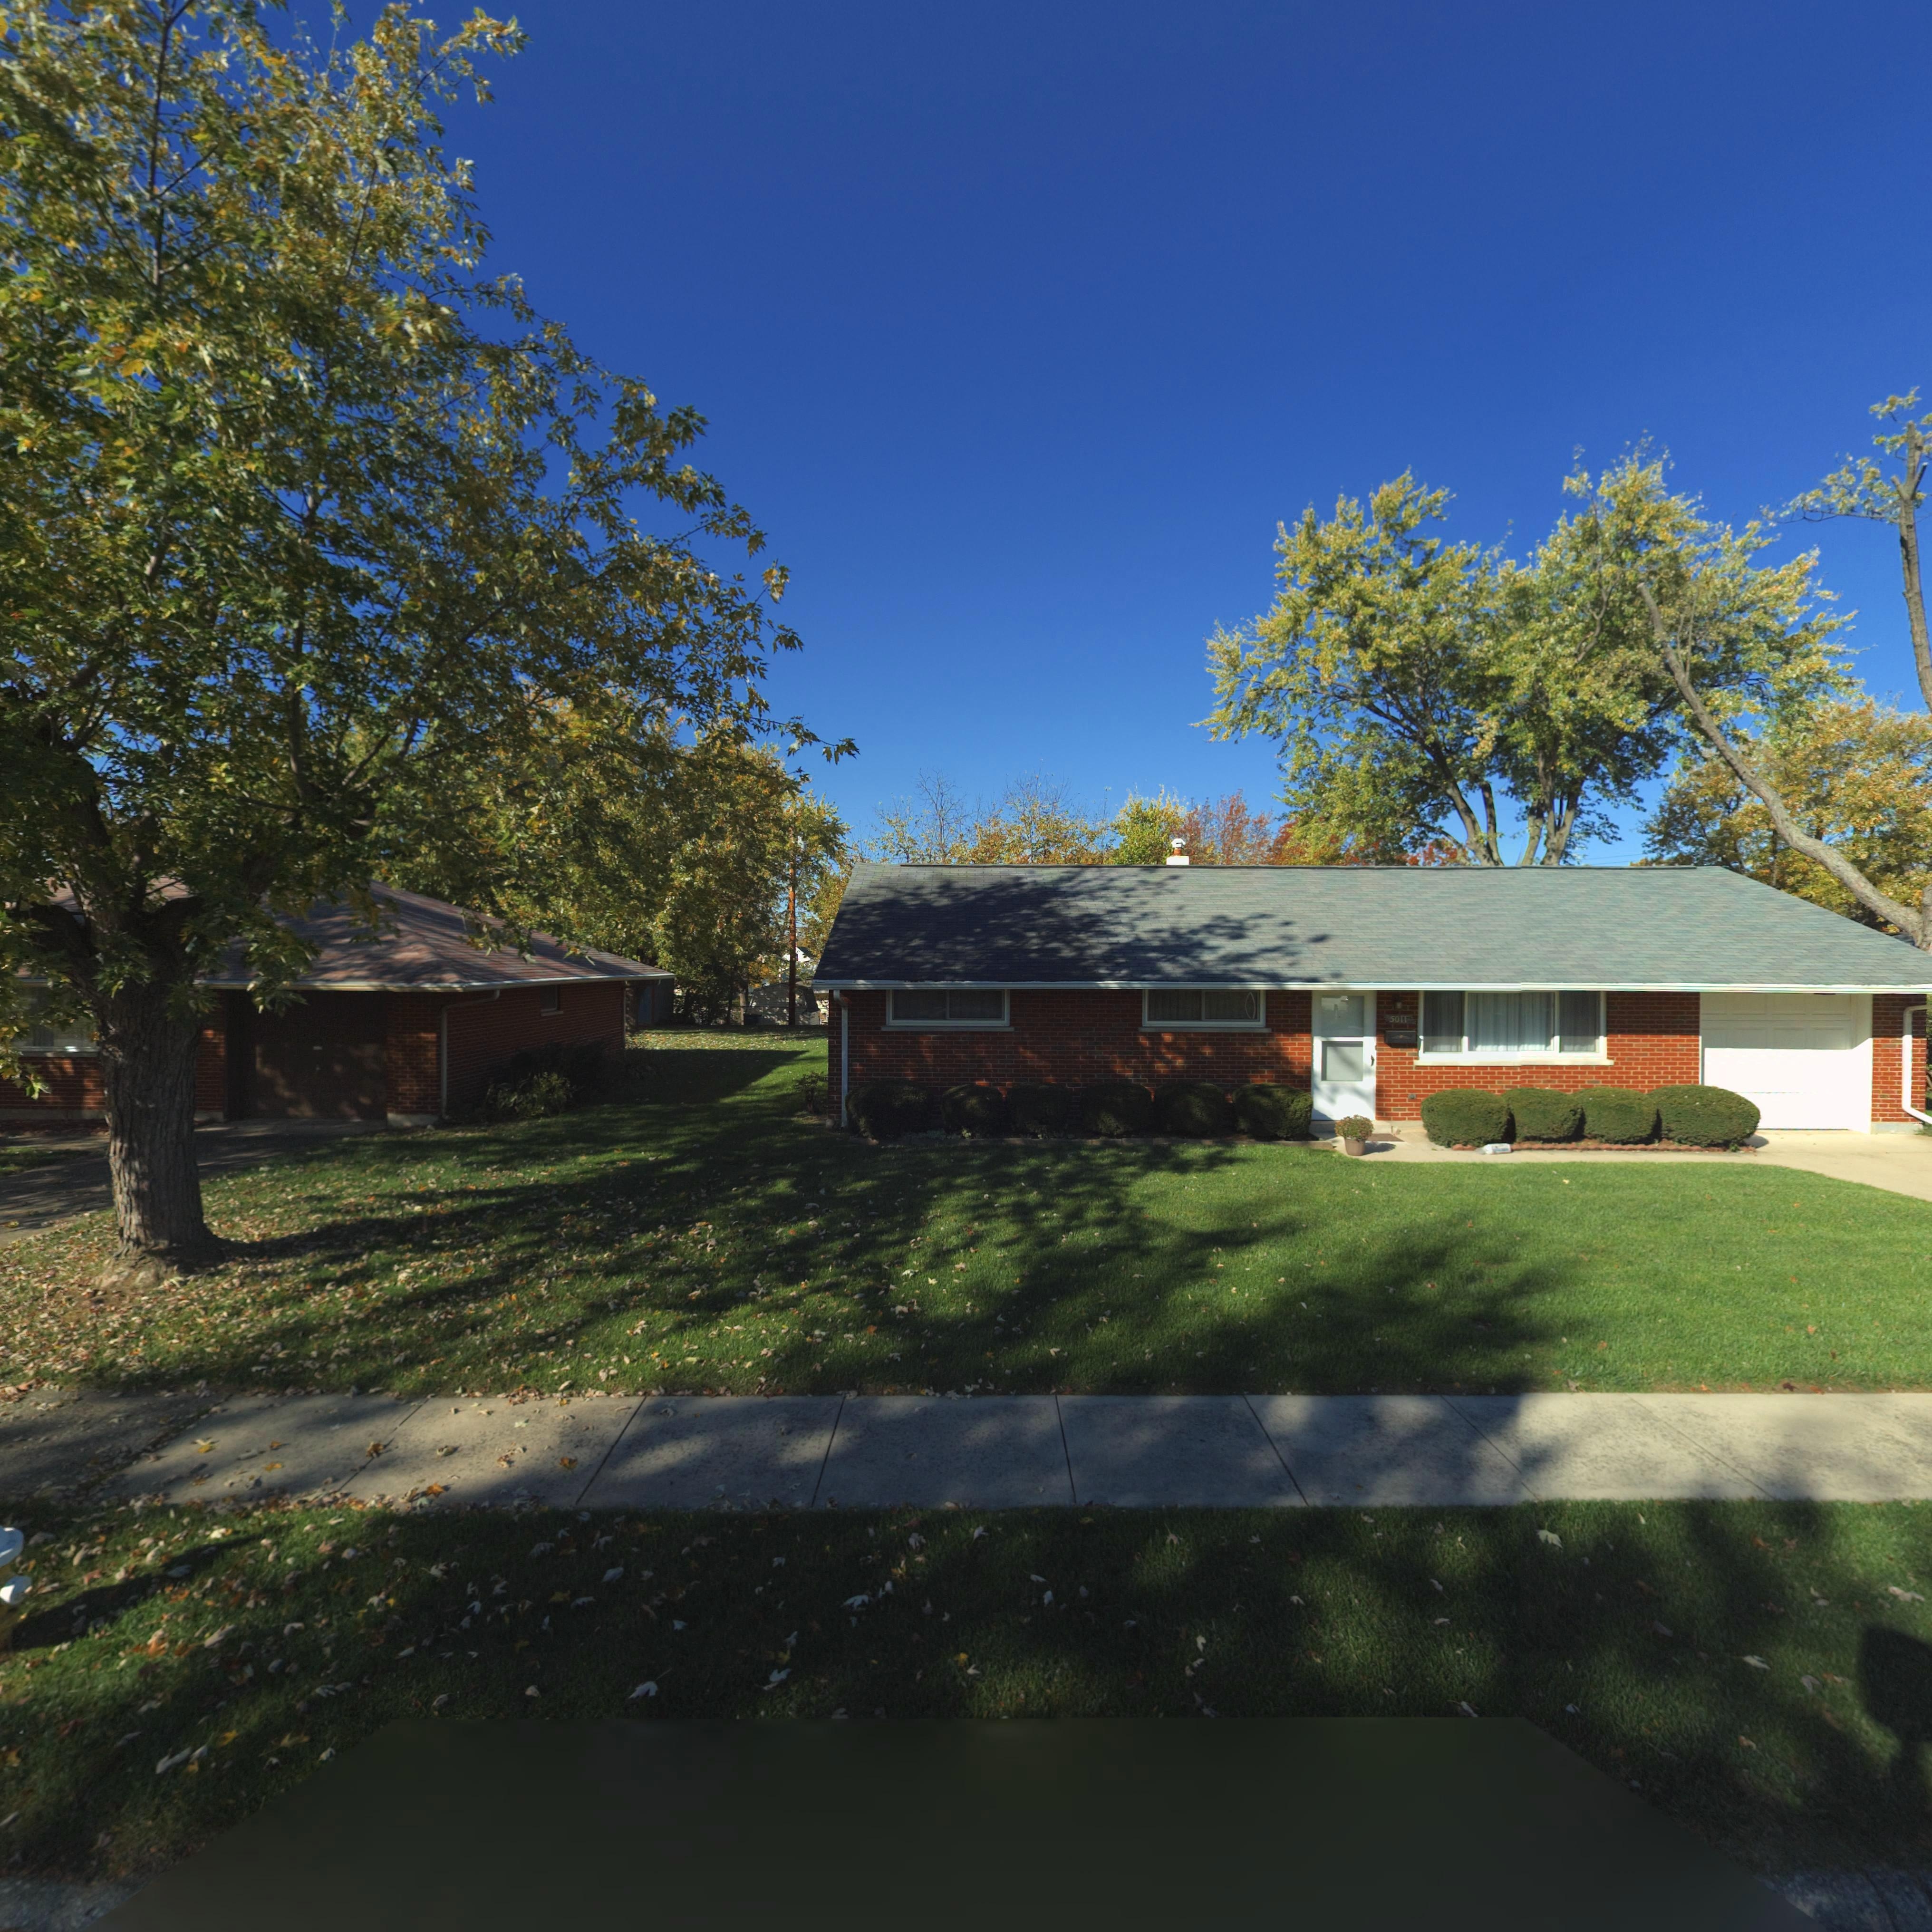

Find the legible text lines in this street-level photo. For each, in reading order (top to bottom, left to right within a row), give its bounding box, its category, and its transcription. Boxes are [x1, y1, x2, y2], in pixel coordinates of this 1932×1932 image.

[1389, 1015, 1407, 1024] StreetNumber: 5011